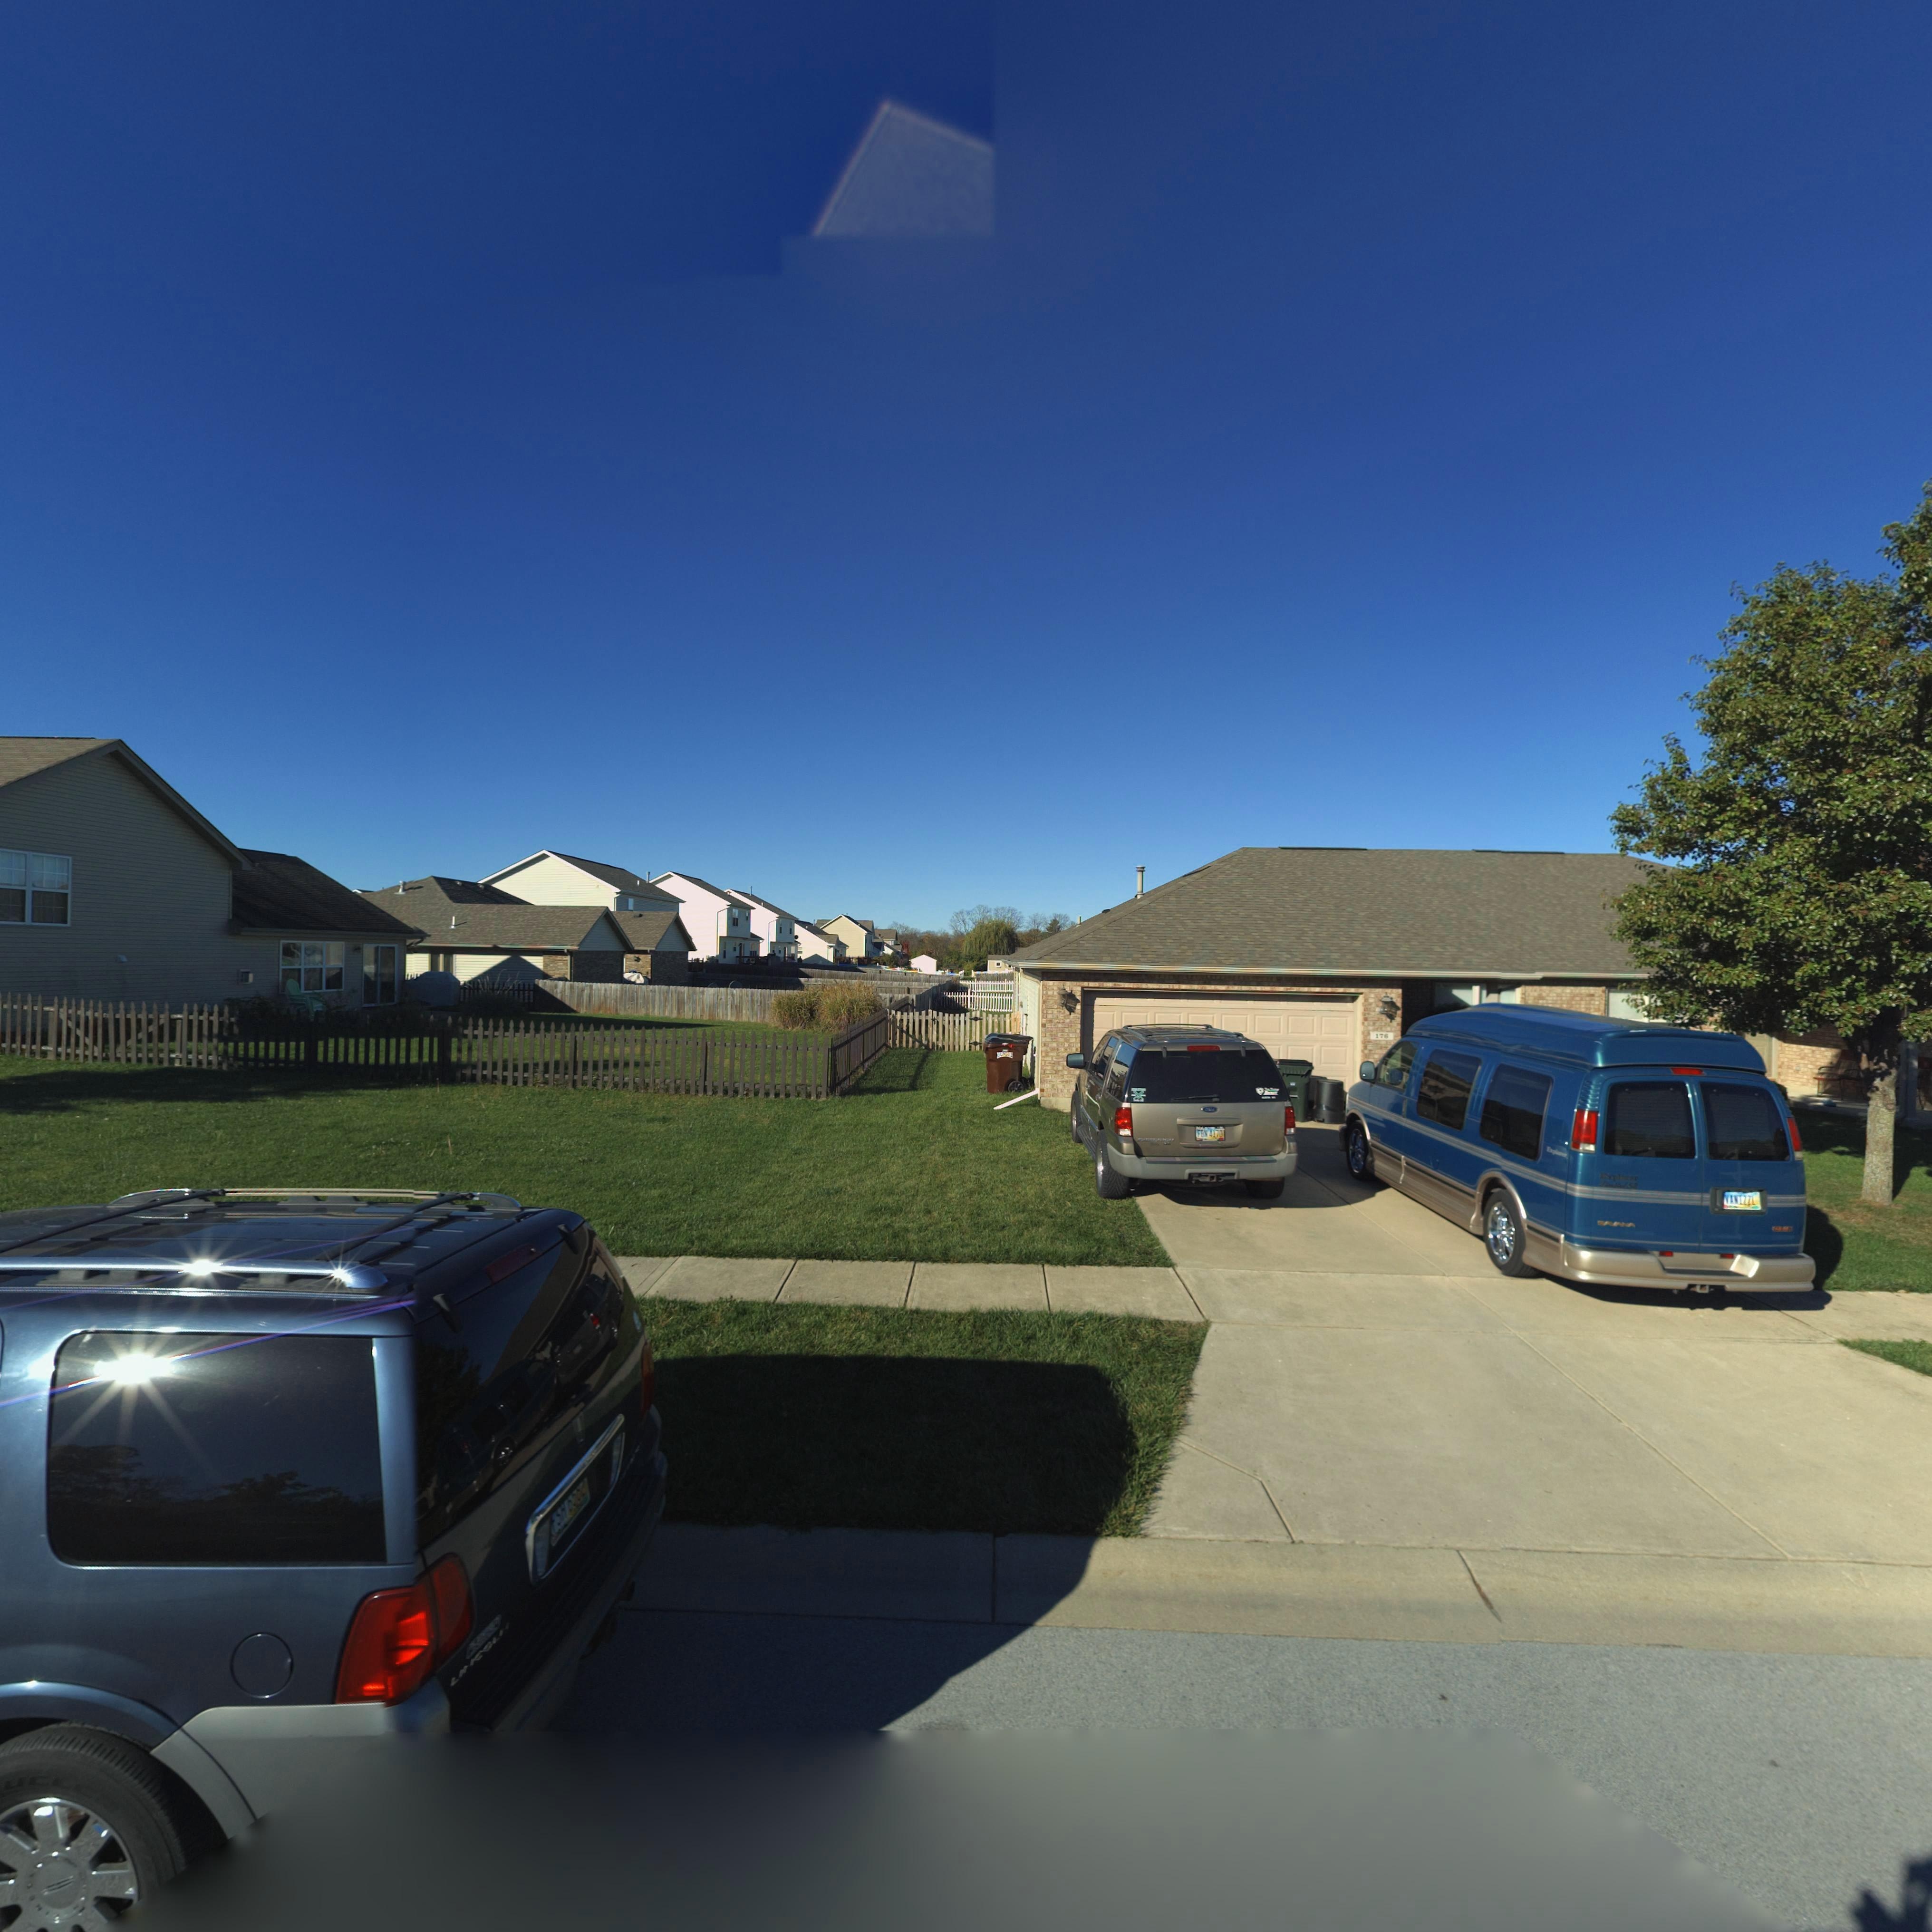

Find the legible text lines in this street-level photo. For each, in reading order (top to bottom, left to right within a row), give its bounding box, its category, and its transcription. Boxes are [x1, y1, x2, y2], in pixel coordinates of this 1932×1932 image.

[1375, 1033, 1390, 1039] StreetNumber: 176